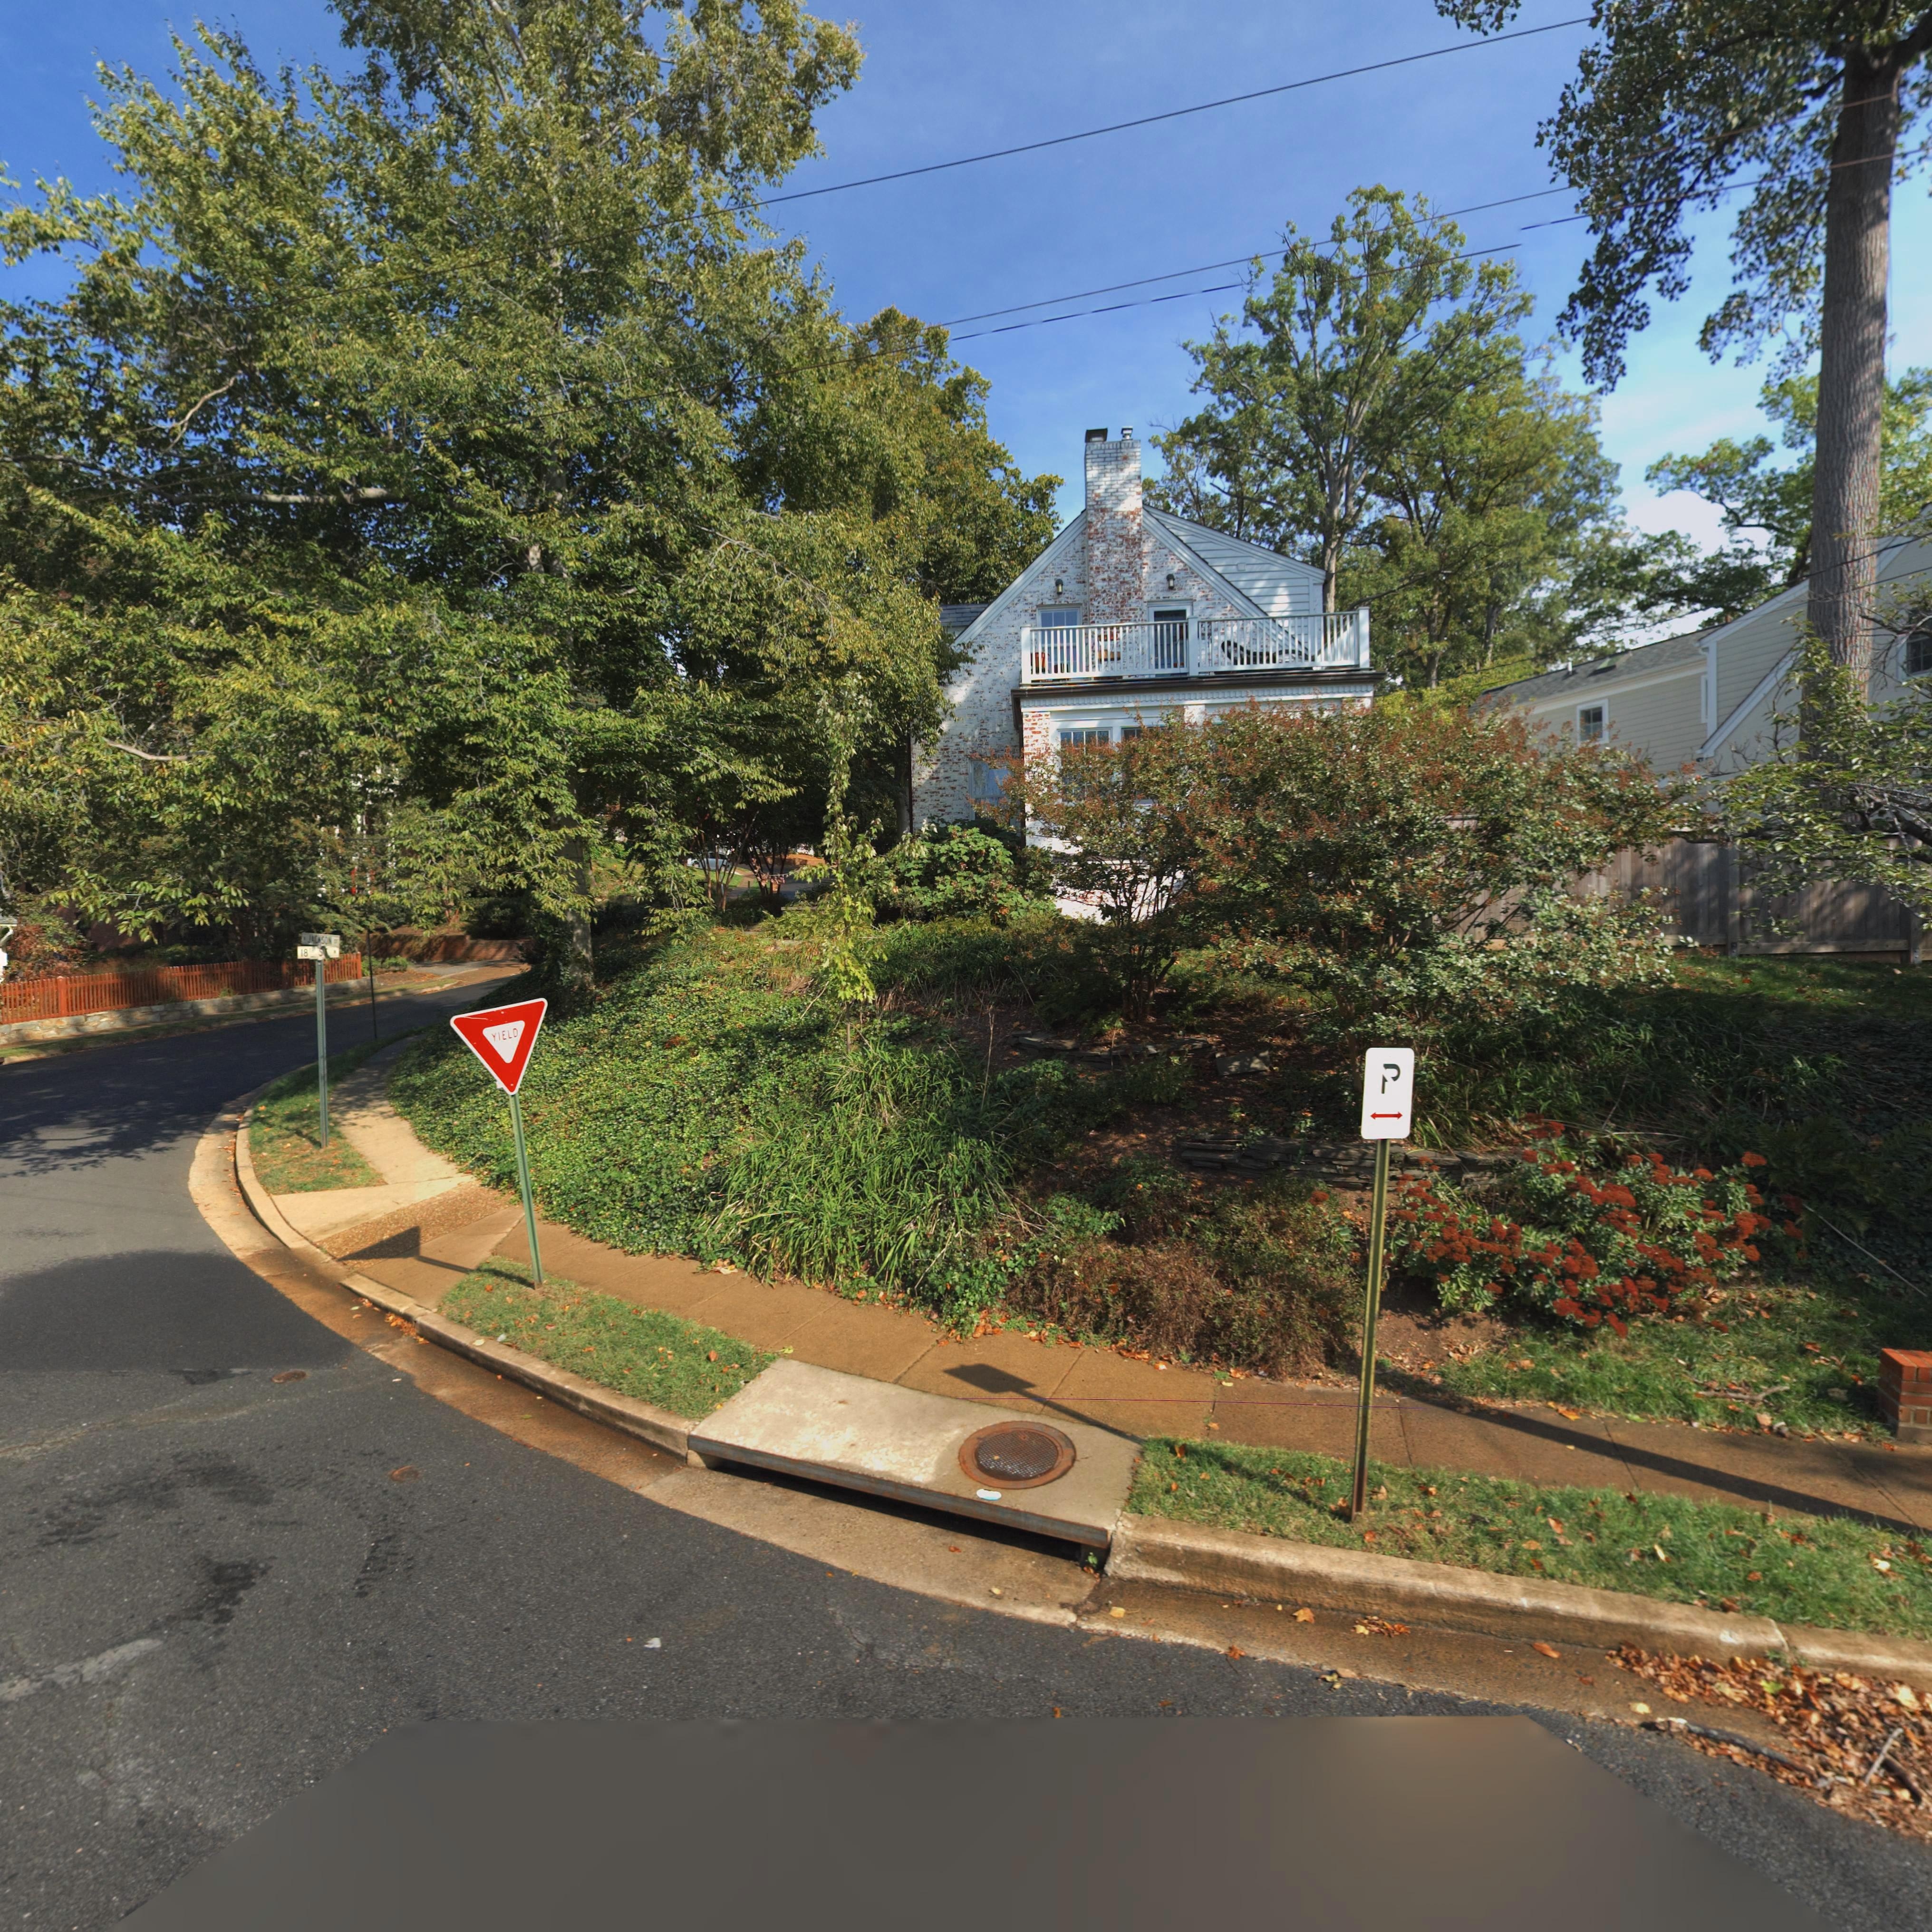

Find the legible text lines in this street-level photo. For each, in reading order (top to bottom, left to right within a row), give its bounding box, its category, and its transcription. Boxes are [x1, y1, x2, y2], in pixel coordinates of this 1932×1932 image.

[306, 933, 333, 946] StreetName: JACKSON
[299, 947, 309, 958] StreetName: 18
[489, 1026, 521, 1044] None: YIELD